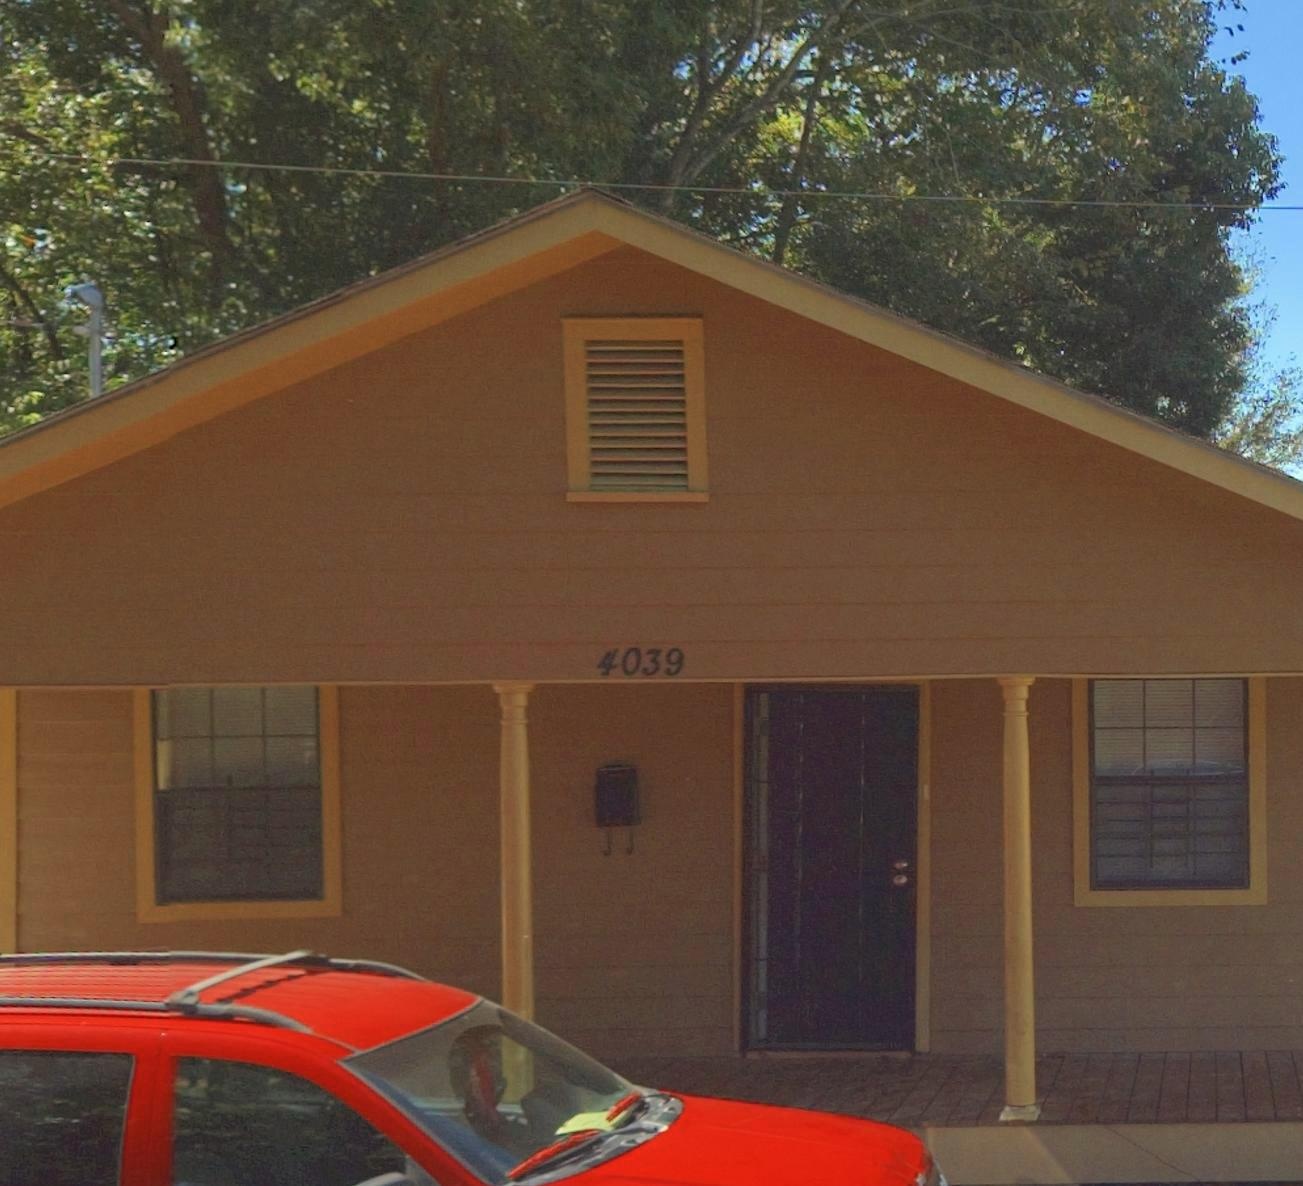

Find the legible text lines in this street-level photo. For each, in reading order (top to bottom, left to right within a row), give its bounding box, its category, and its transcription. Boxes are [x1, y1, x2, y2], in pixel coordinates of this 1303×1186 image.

[595, 646, 690, 678] StreetNumber: 4039